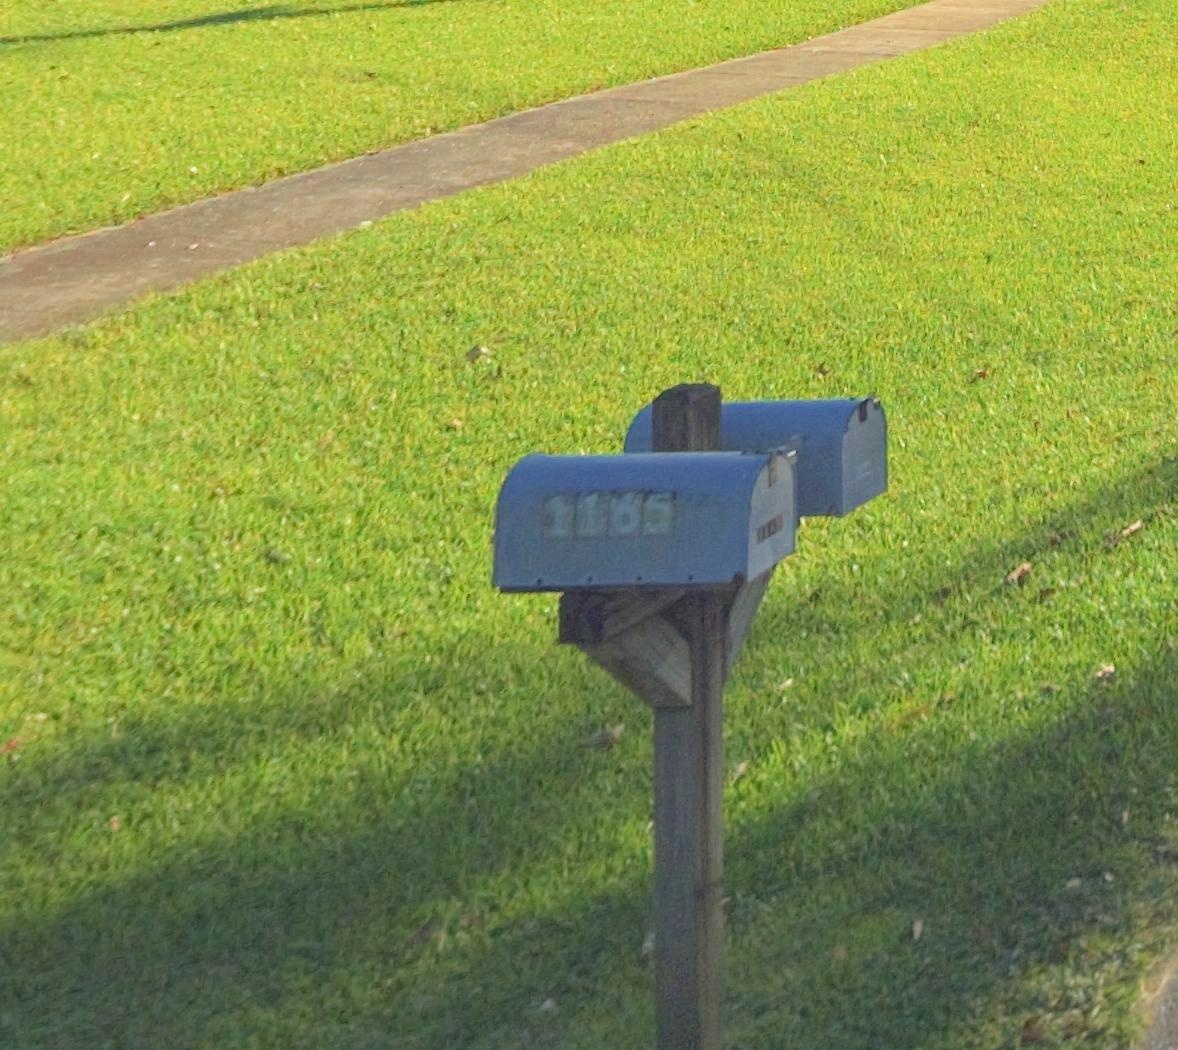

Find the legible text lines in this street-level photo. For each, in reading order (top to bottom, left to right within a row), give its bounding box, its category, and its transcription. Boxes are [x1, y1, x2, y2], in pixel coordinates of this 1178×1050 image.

[540, 489, 678, 543] StreetNumber: 1165